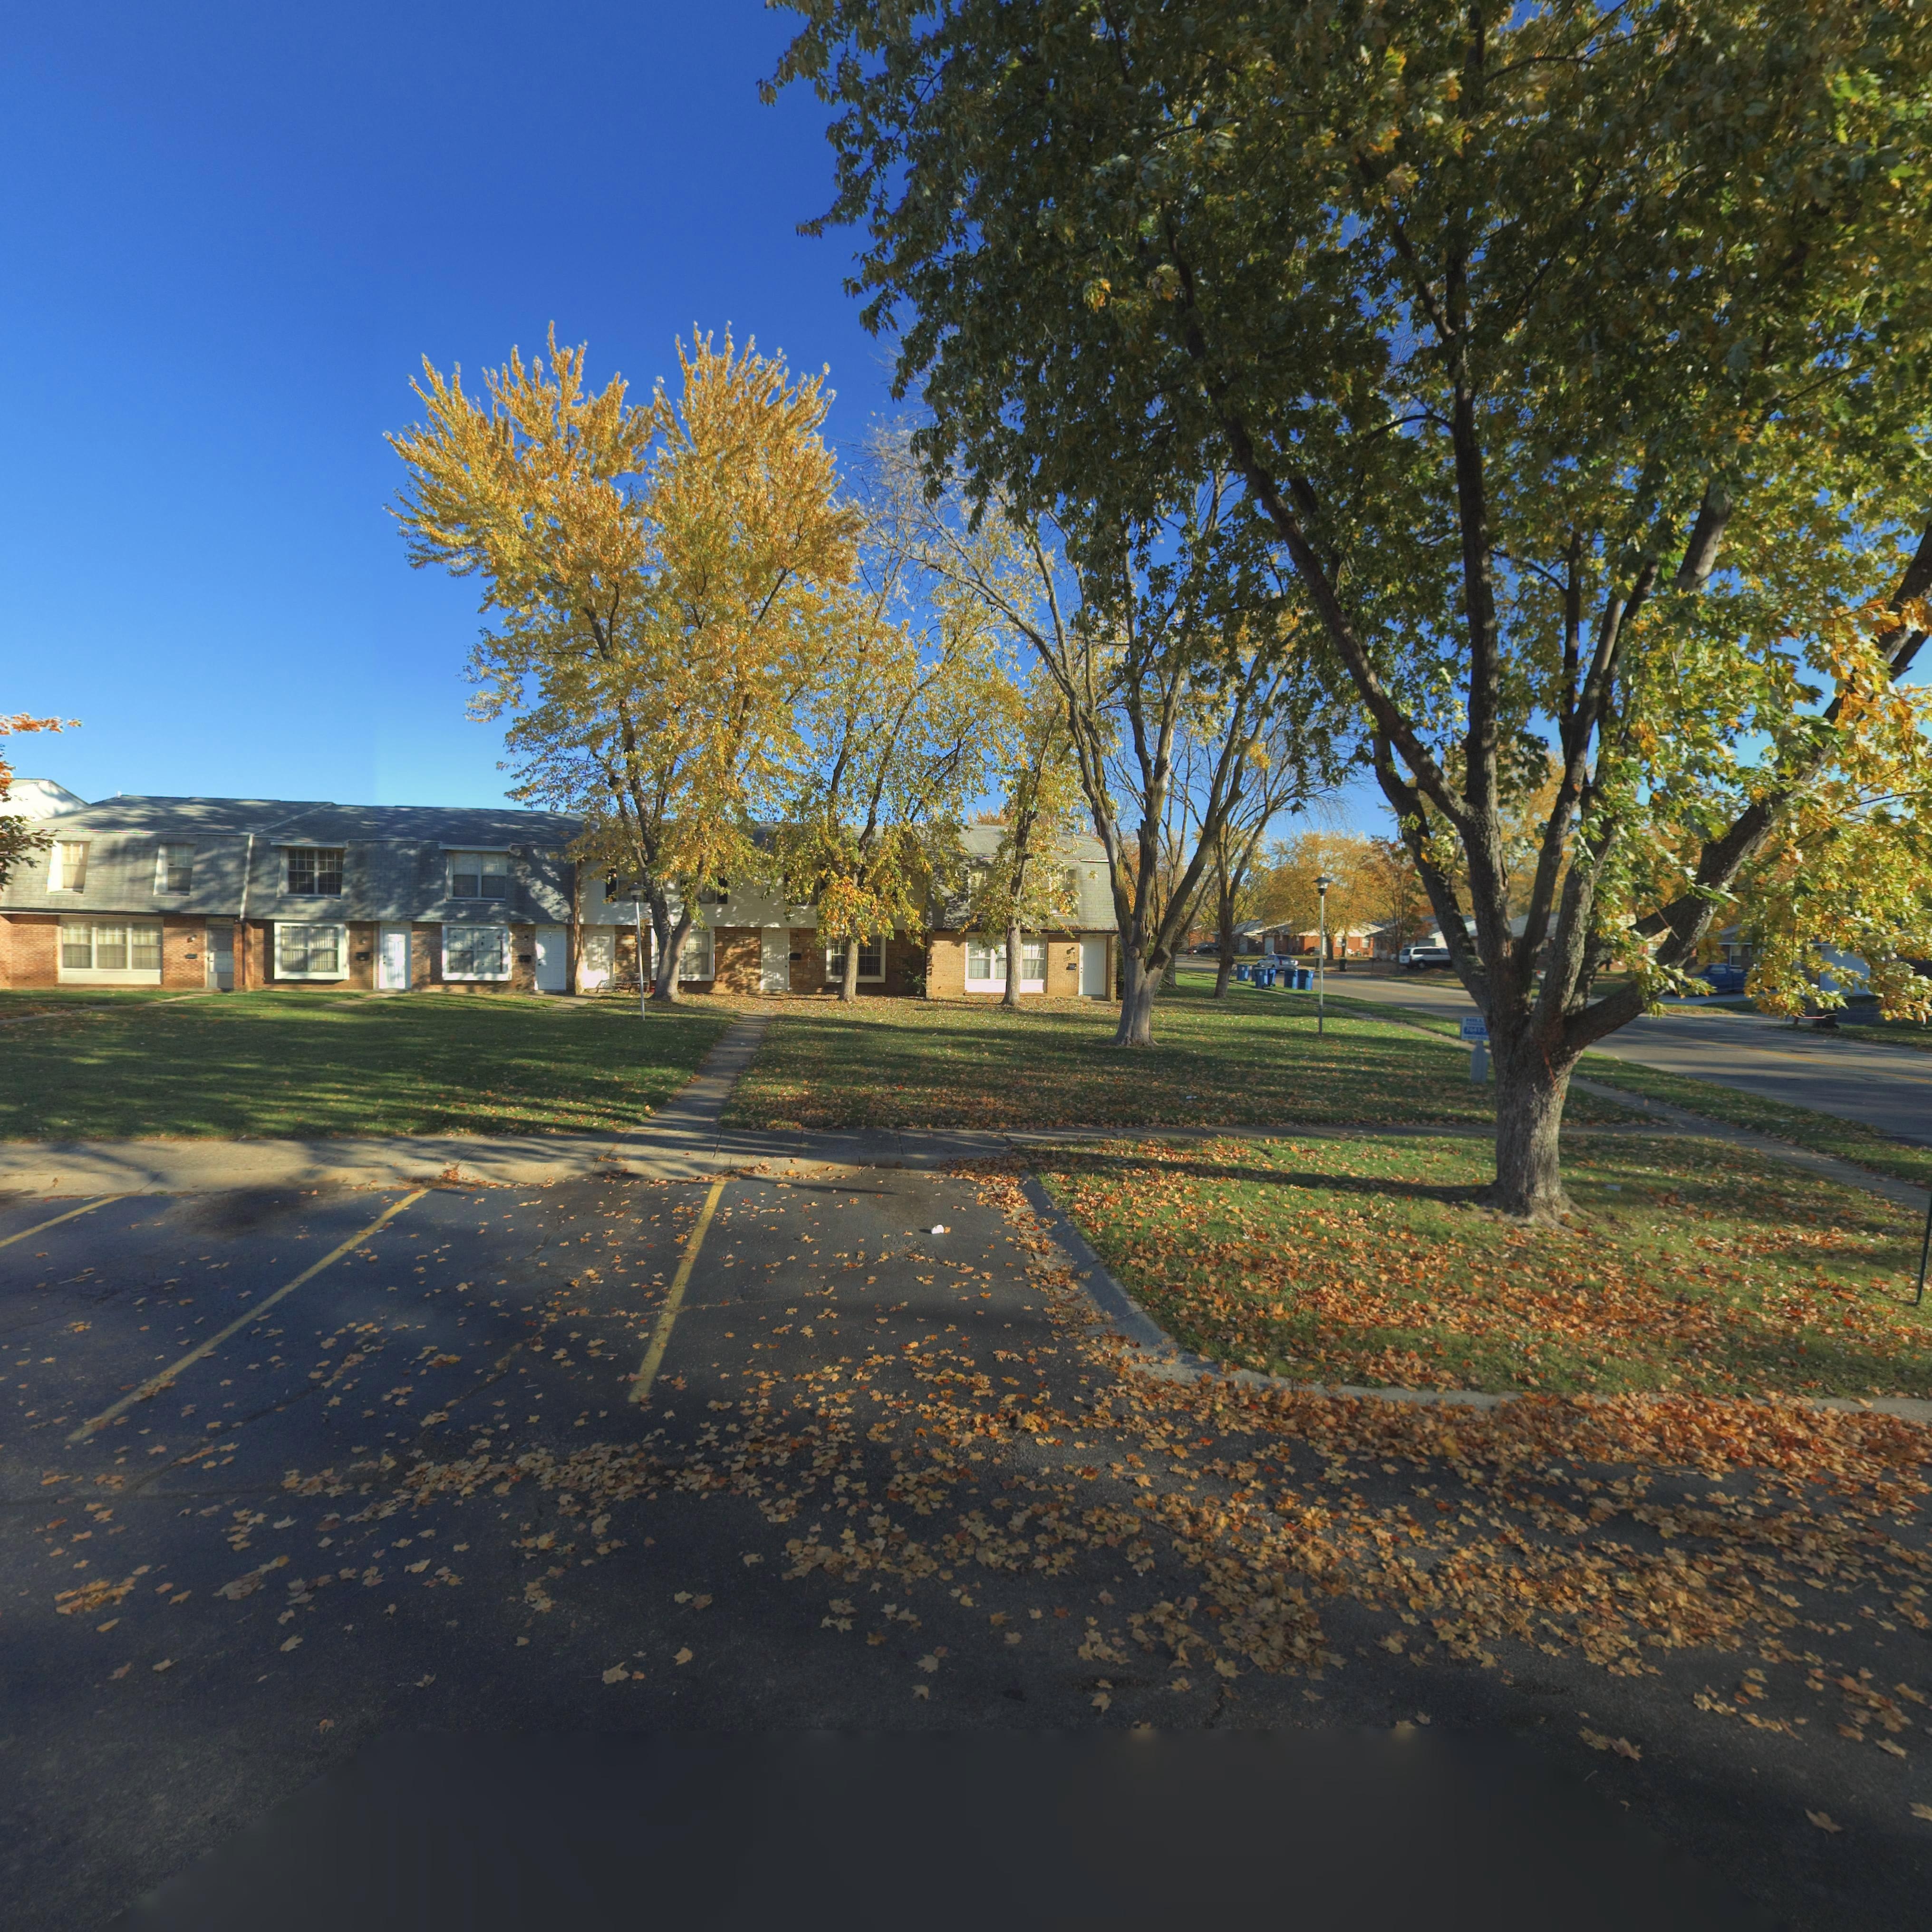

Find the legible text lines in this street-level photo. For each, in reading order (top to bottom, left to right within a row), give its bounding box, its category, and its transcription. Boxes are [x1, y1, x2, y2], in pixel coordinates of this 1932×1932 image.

[394, 921, 397, 926] StreetNumber: 7
[547, 925, 557, 929] StreetNumber: 7719
[771, 928, 781, 933] StreetNumber: 7723
[1088, 935, 1097, 939] StreetNumber: 7725